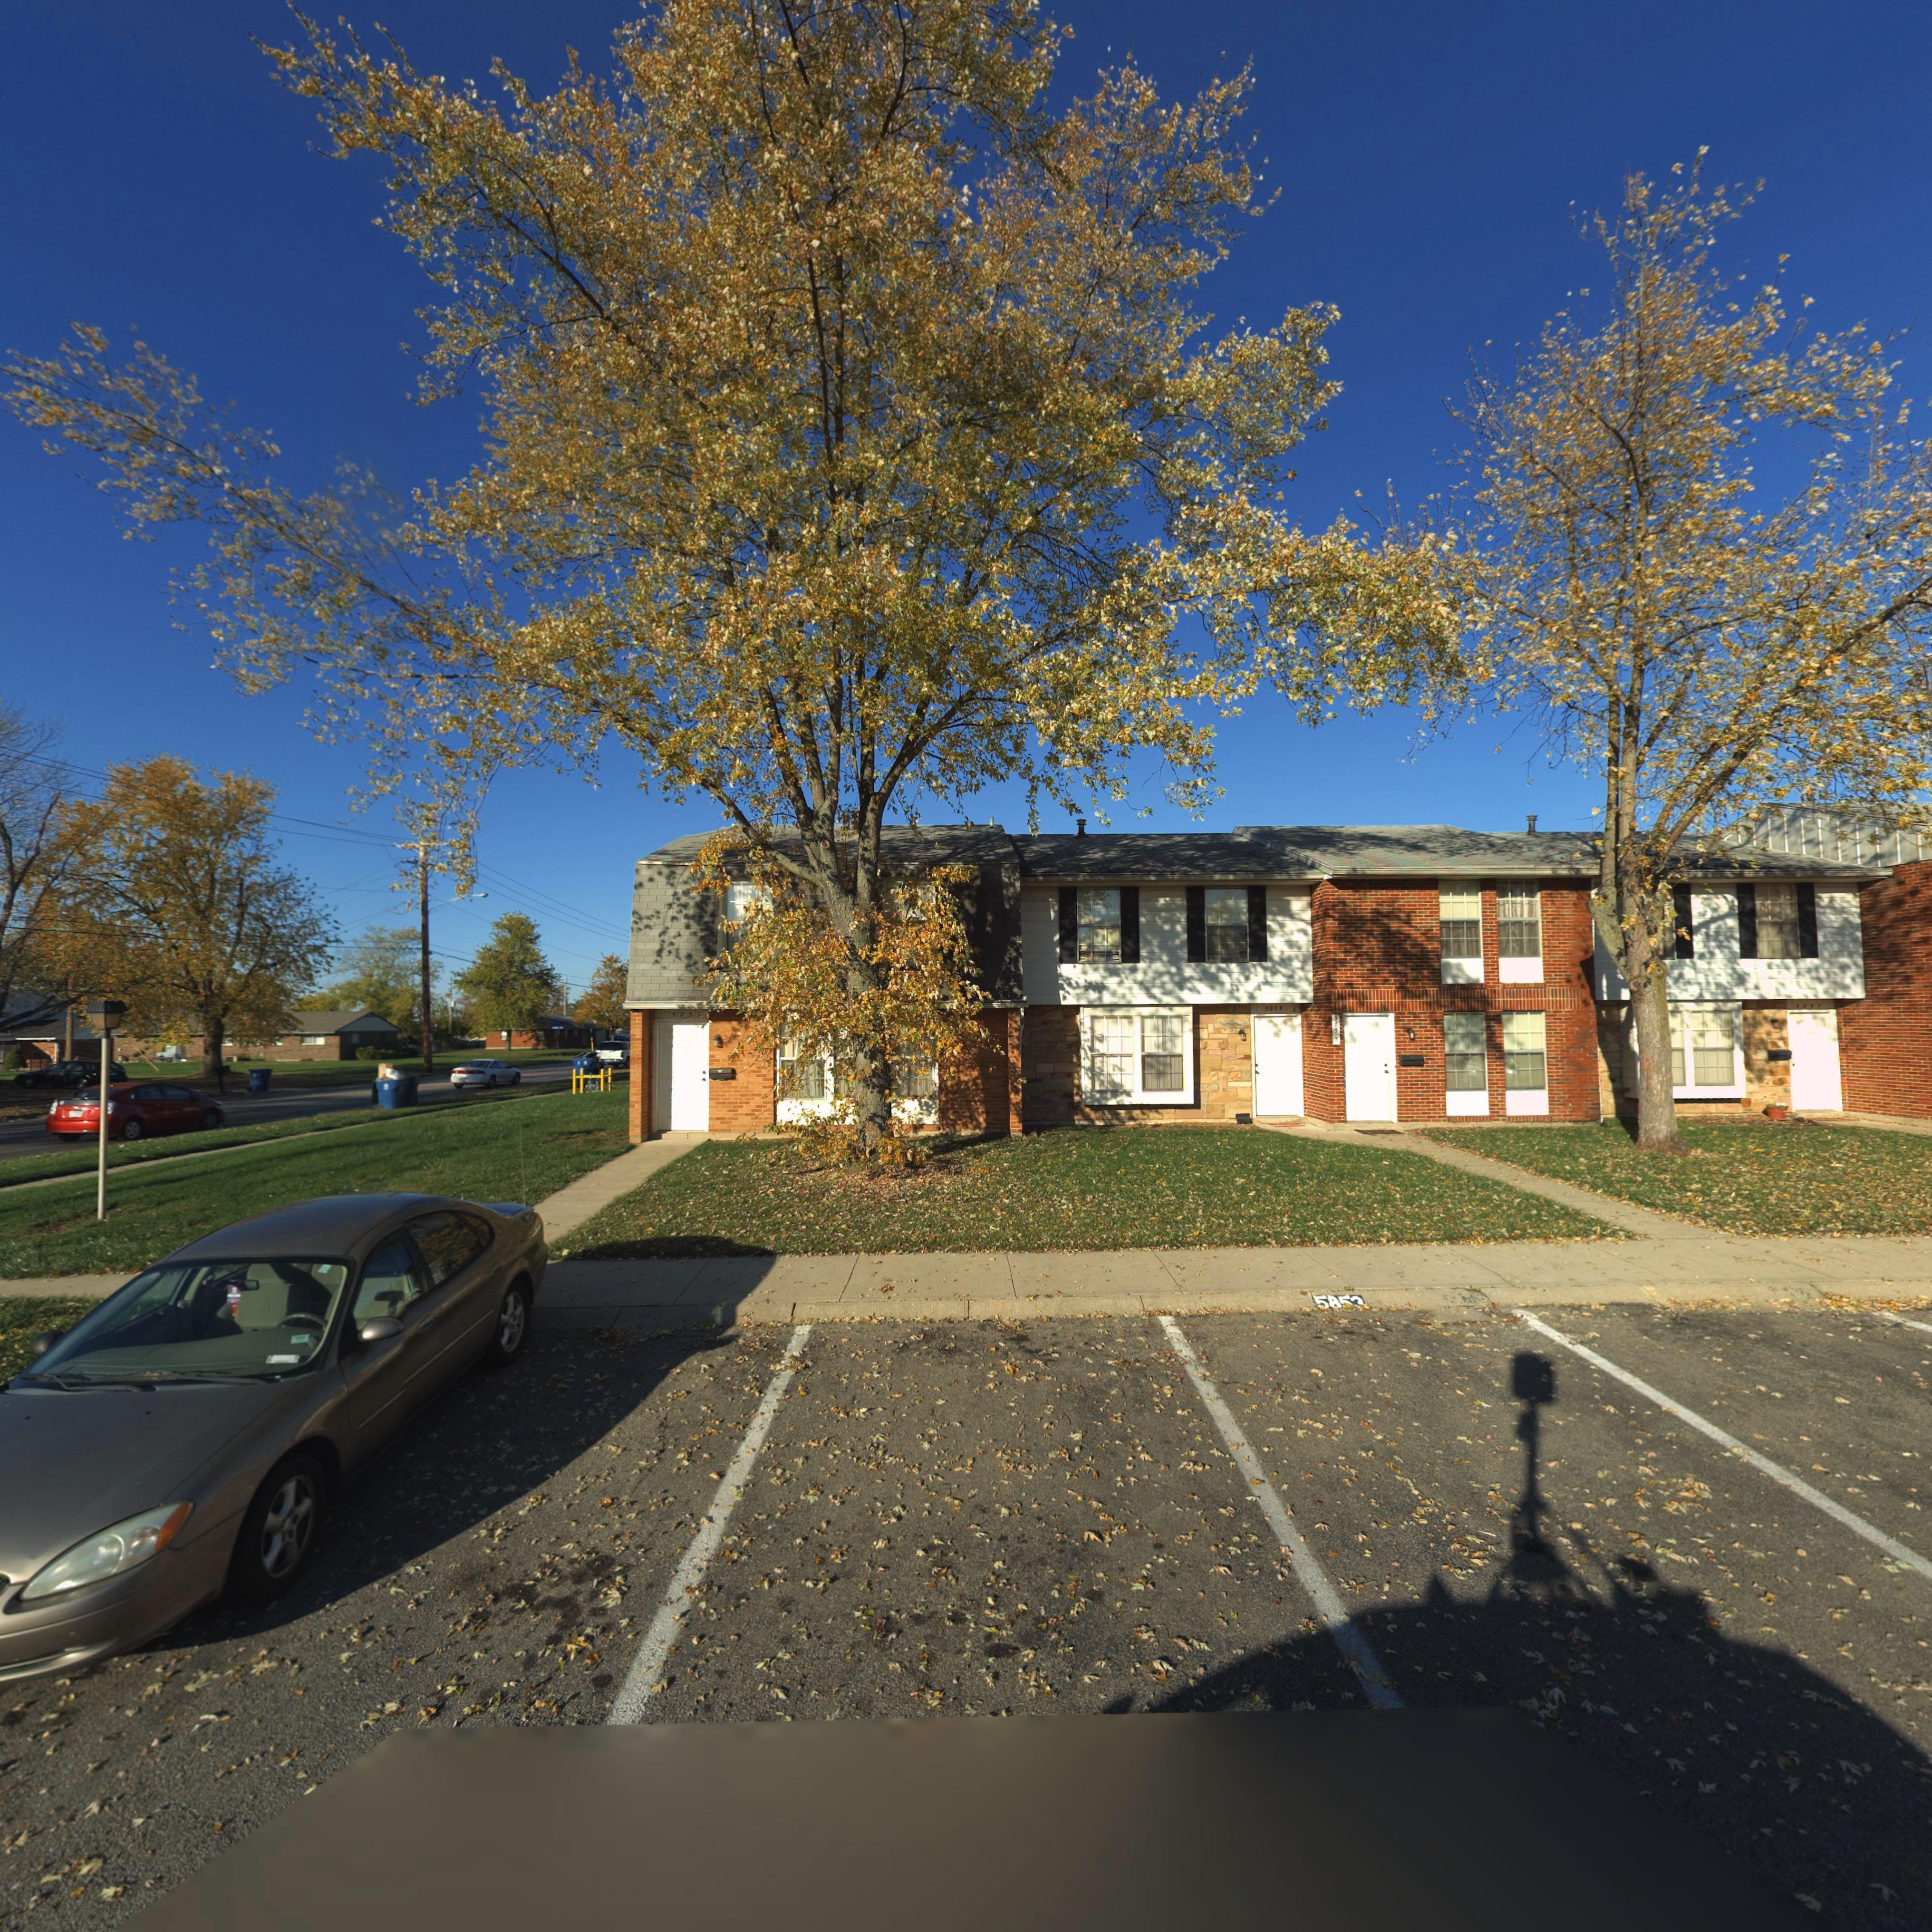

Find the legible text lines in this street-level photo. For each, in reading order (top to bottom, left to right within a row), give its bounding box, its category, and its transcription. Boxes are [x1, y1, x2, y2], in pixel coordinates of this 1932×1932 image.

[670, 1010, 702, 1019] StreetNumber: 585*
[1263, 1005, 1284, 1013] StreetNumber: 585*
[1333, 1014, 1340, 1043] StreetNumber: 585*
[1311, 1294, 1367, 1311] StreetNumber: 58**